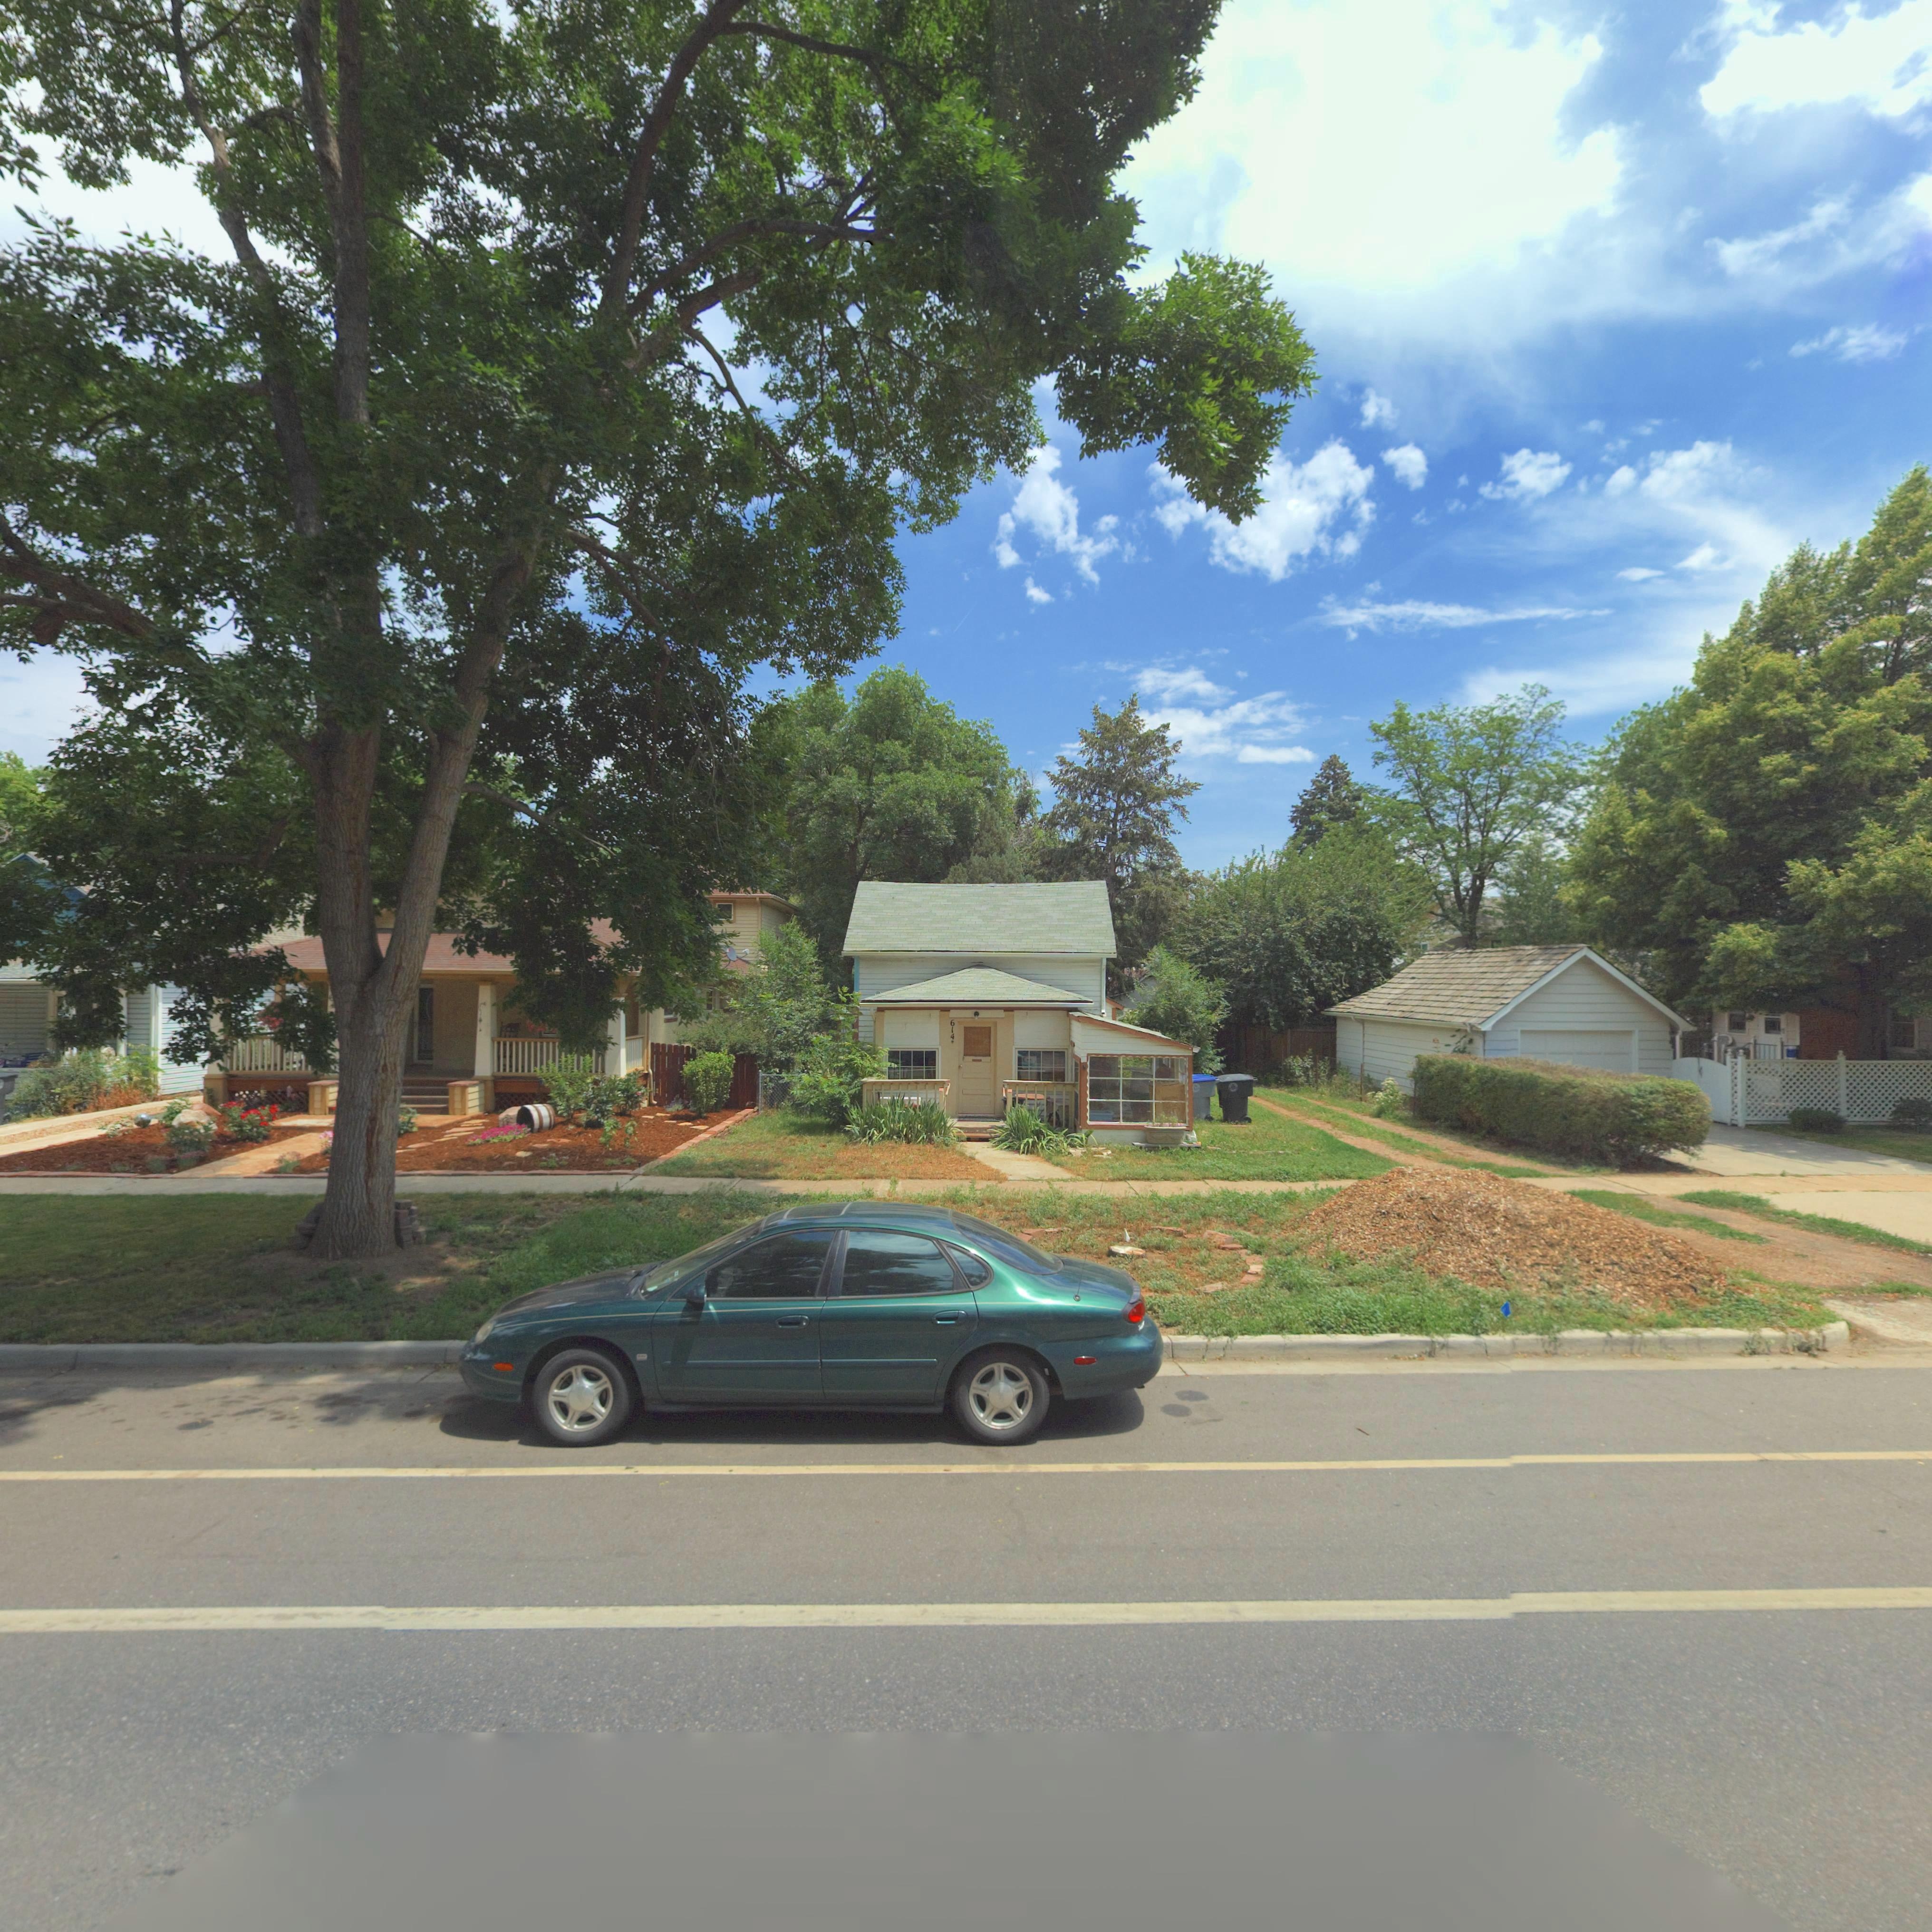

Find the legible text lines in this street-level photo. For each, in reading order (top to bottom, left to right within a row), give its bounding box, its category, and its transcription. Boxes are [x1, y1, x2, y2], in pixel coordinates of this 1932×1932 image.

[949, 1019, 955, 1040] StreetNumber: 614